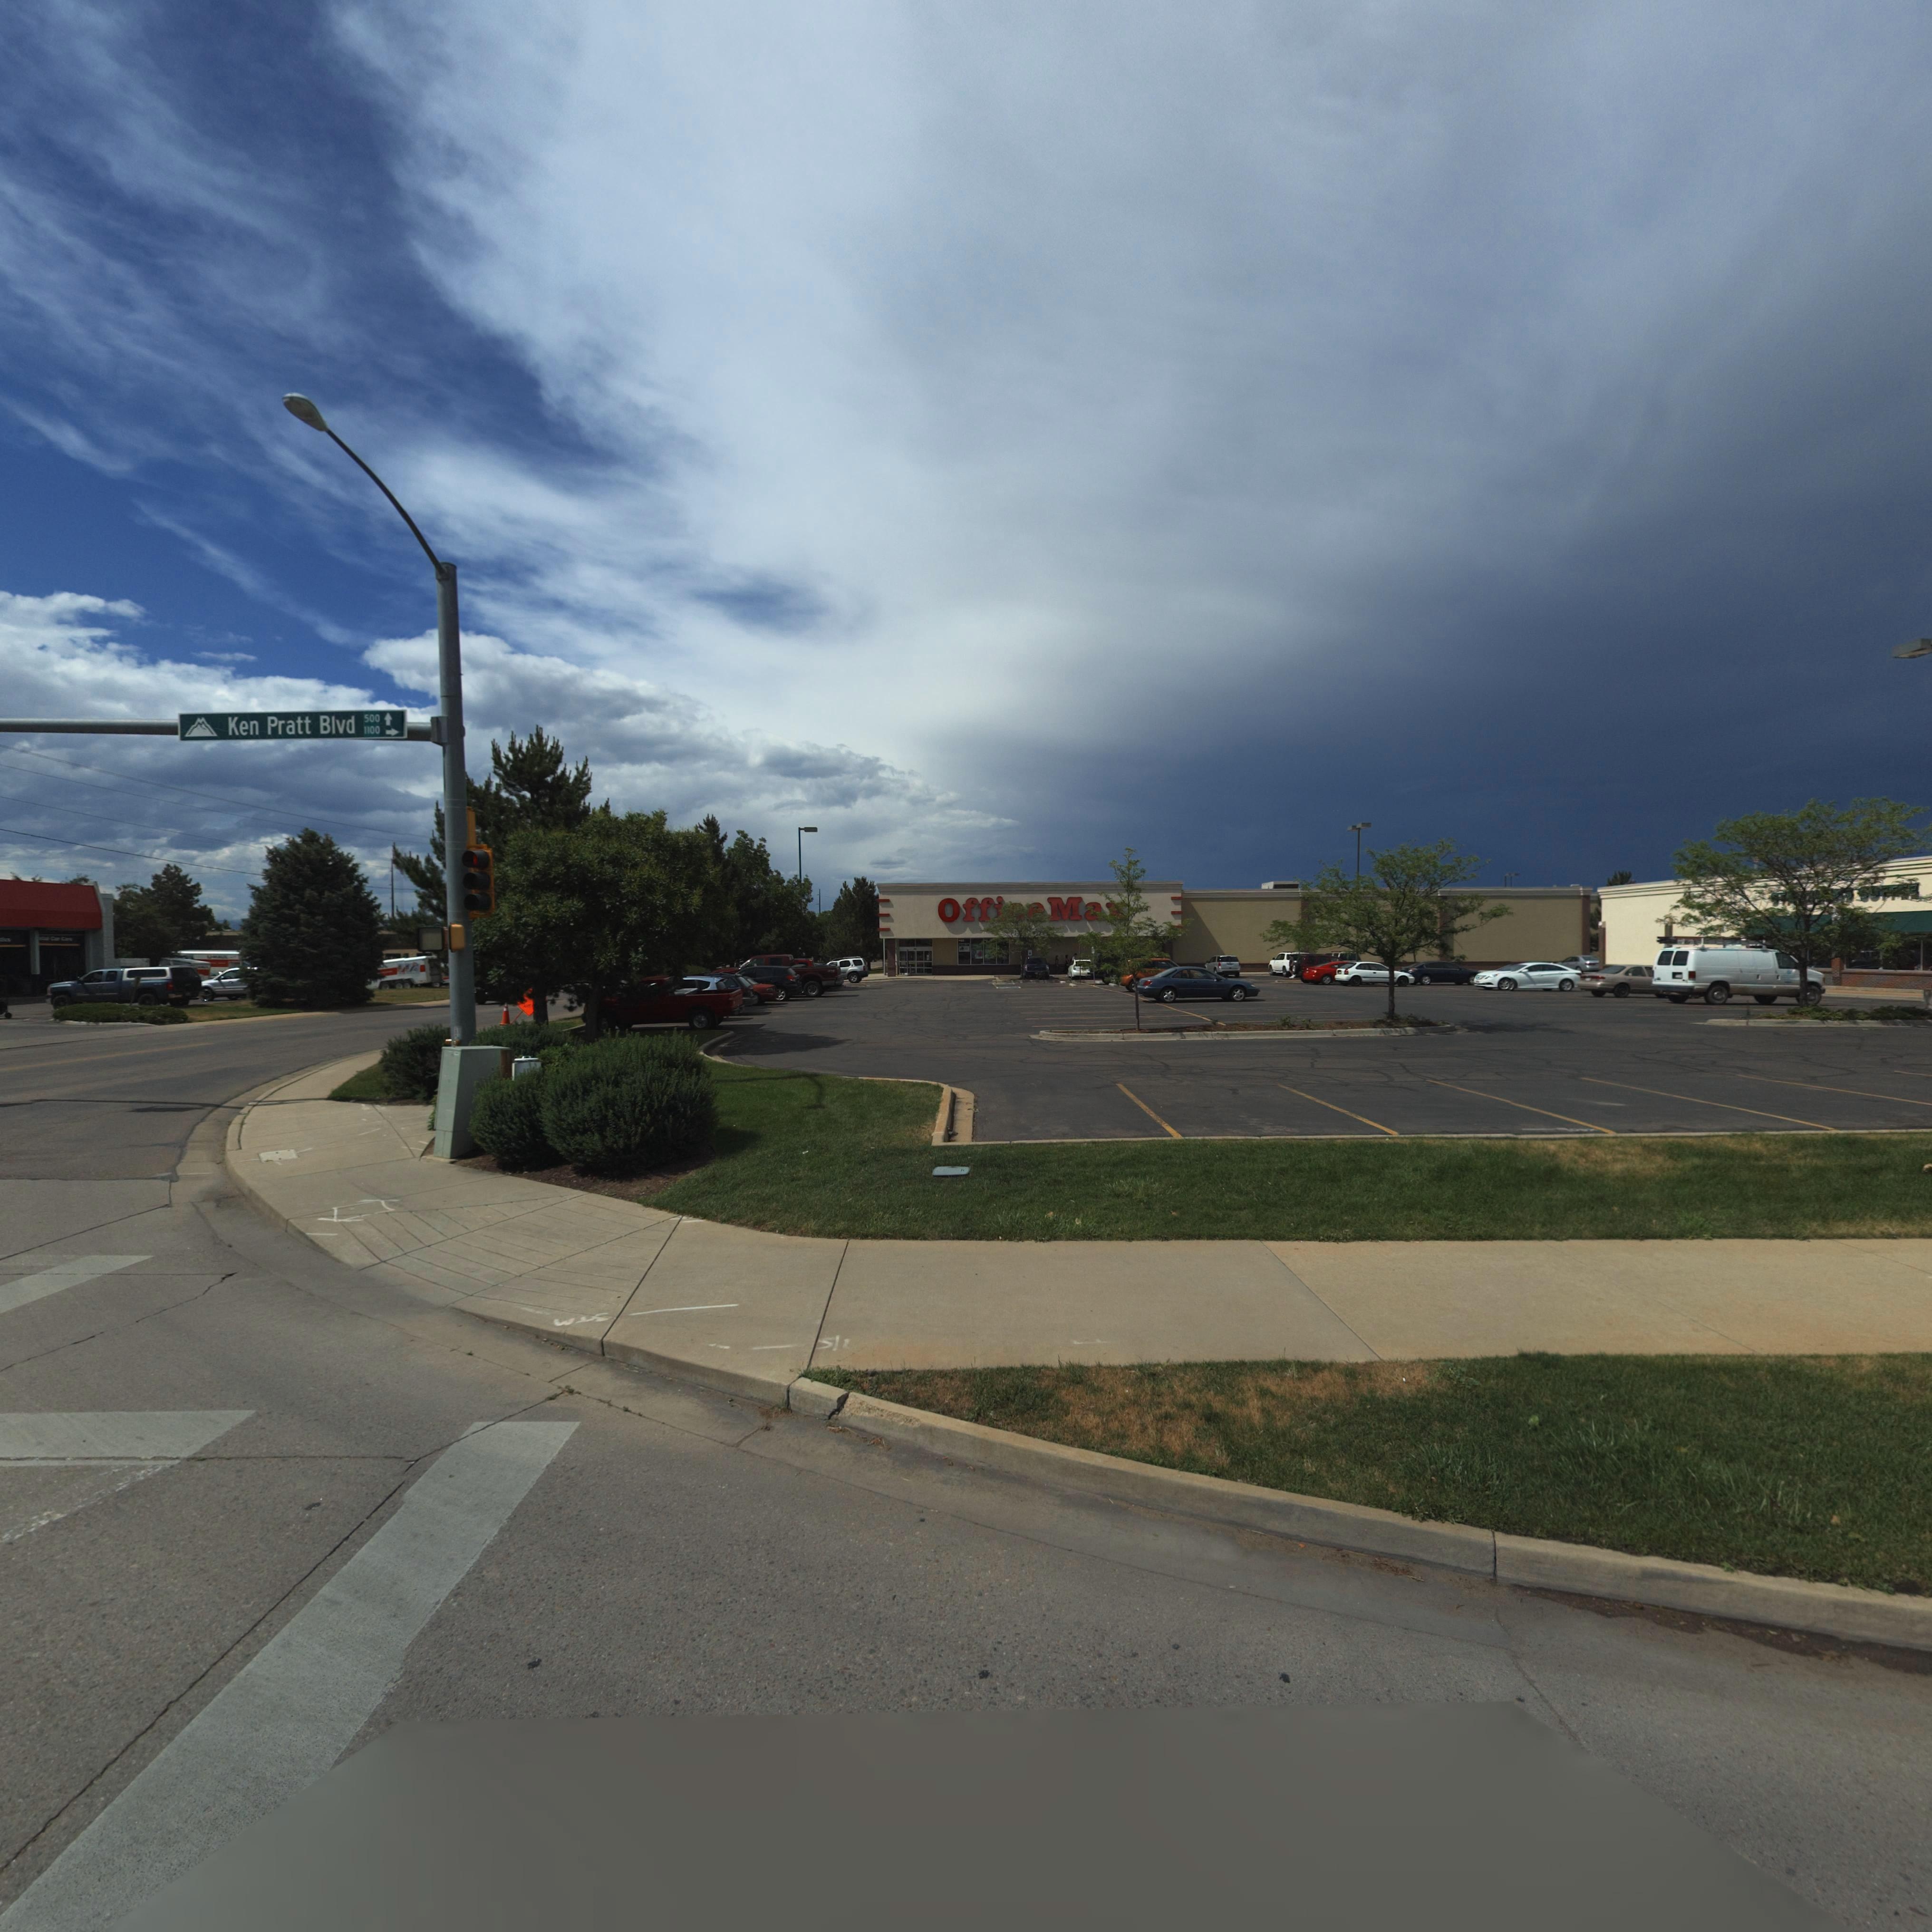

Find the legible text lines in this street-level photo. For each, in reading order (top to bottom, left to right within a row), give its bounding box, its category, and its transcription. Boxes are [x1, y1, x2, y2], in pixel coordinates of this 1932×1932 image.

[227, 715, 355, 736] StreetName: Ken Pratt Blvd
[364, 714, 380, 723] StreetNumberRange: 500
[363, 725, 400, 736] StreetNumberRange: 1100 ->
[1770, 883, 1919, 903] BusinessName: *********COFF*E
[937, 896, 1102, 923] BusinessName: Offi** M*
[958, 939, 964, 942] StreetNumber: ***0